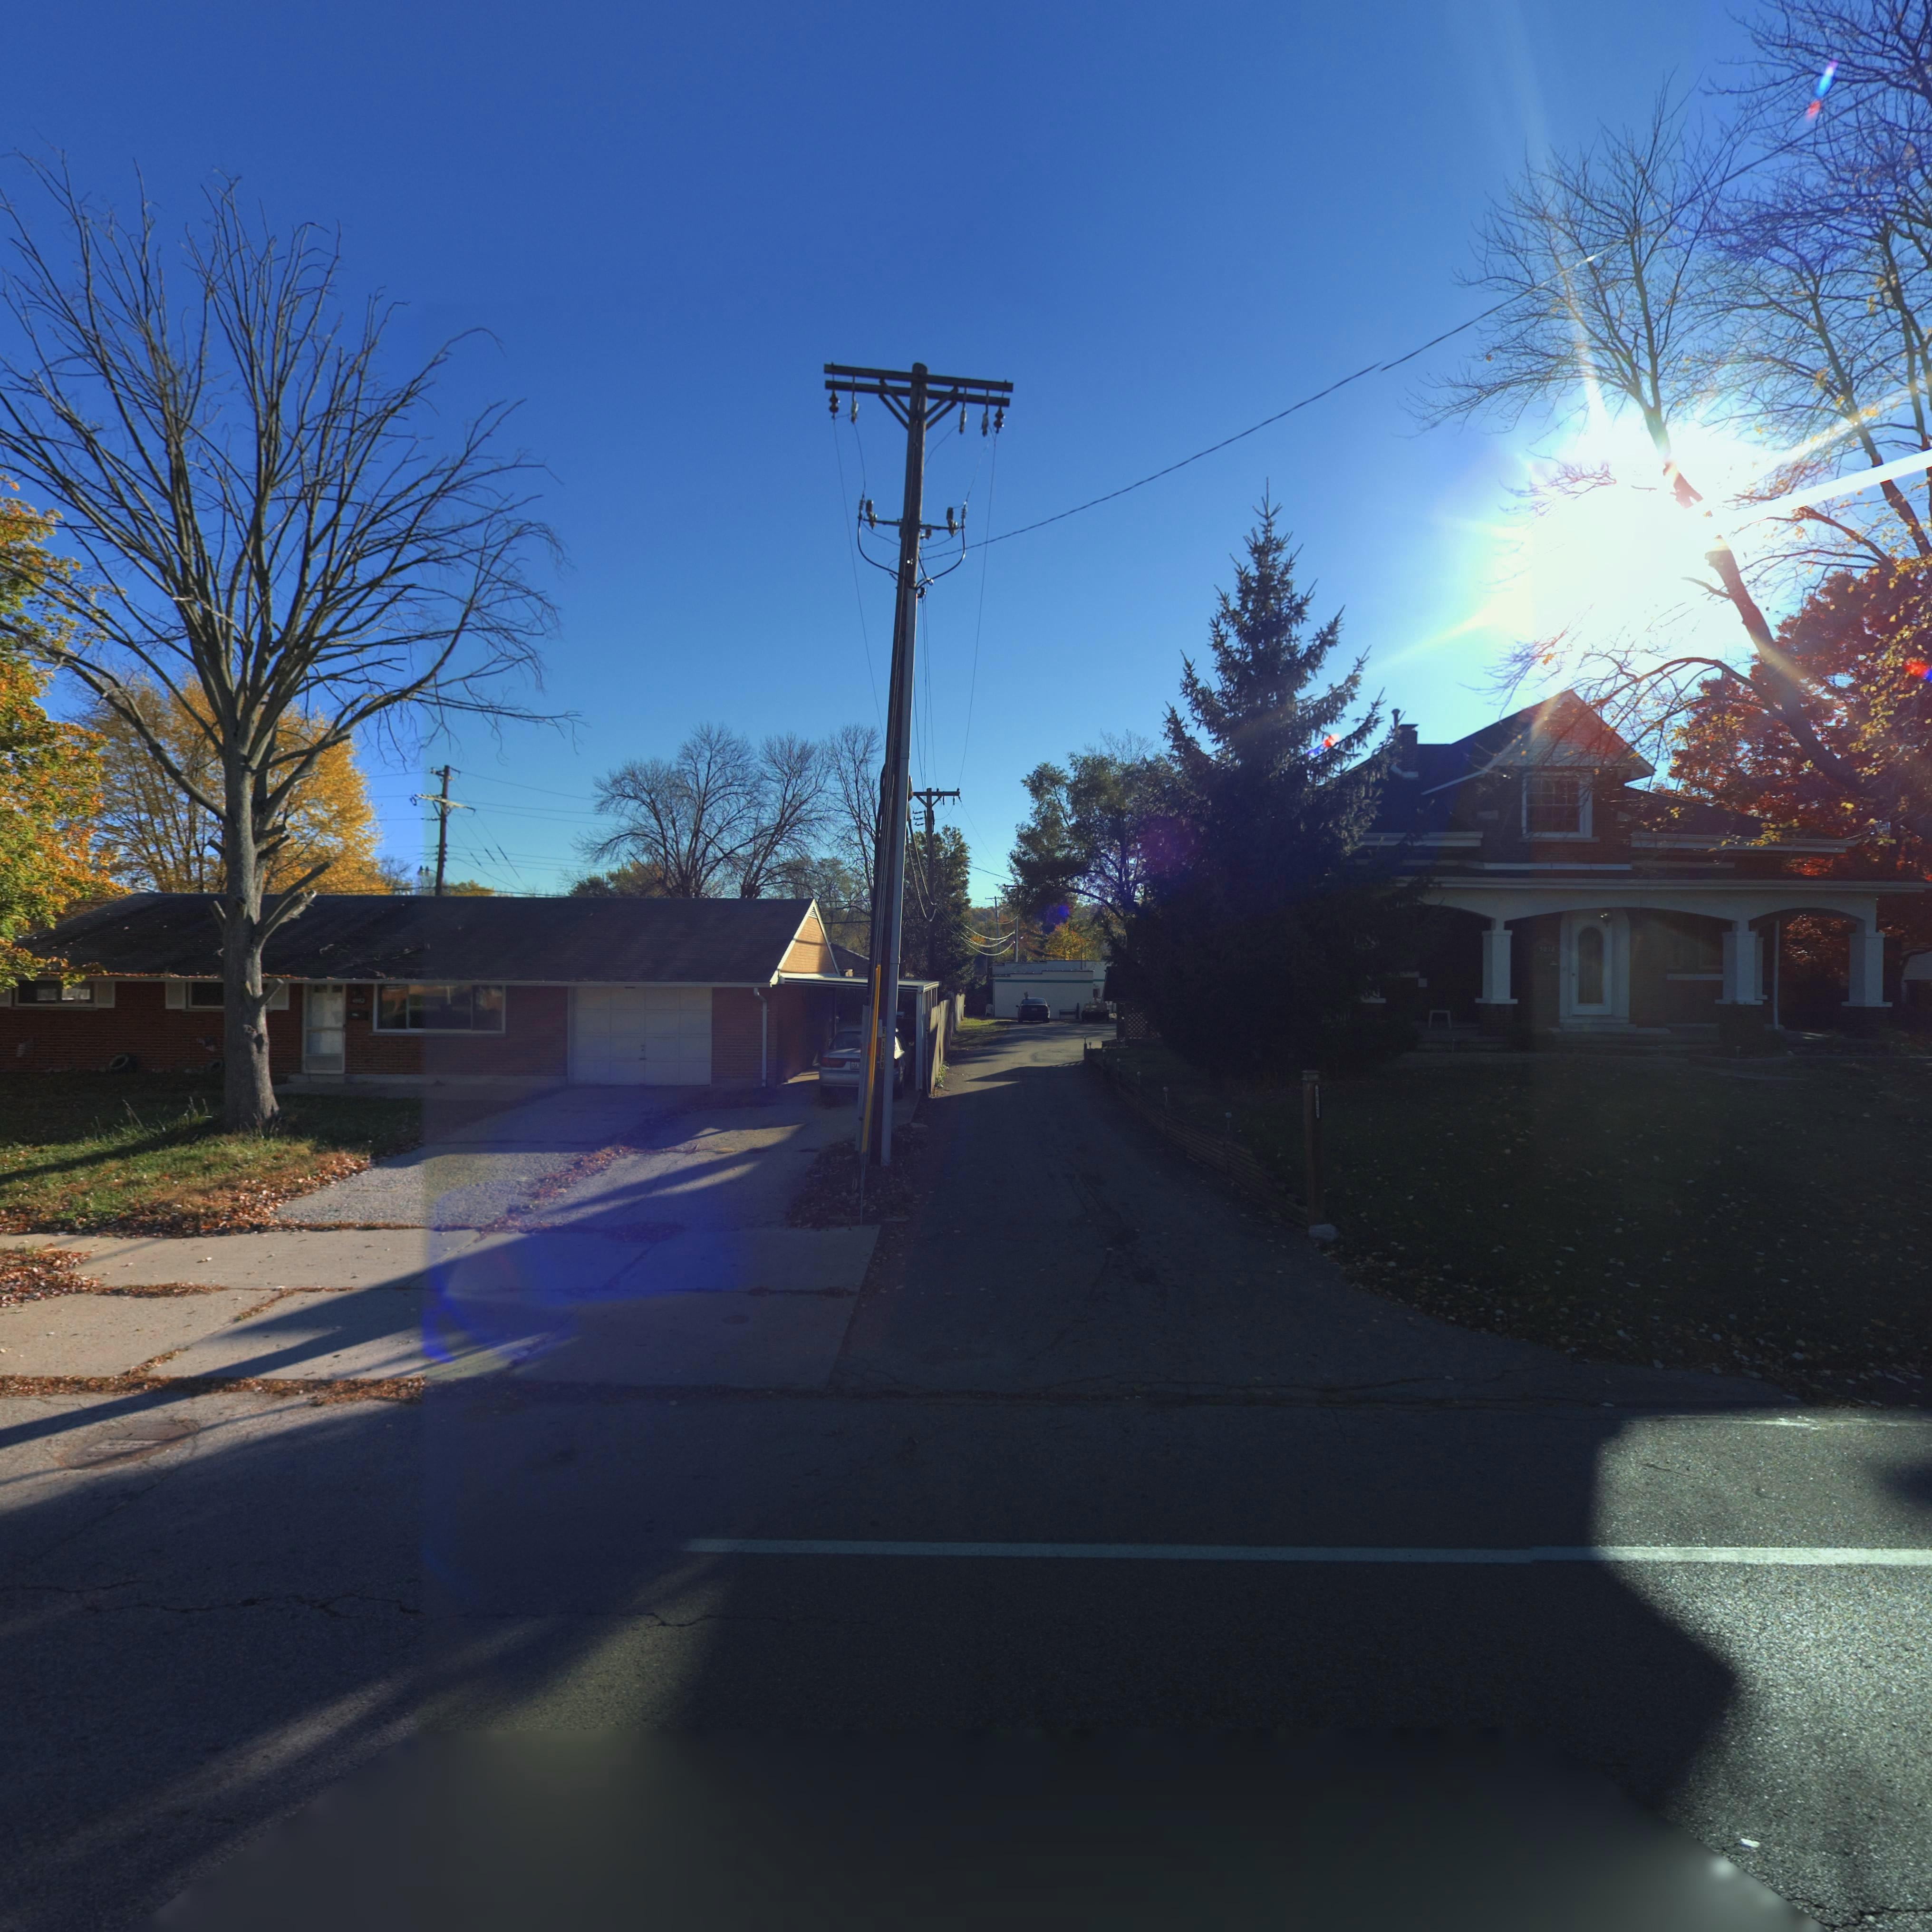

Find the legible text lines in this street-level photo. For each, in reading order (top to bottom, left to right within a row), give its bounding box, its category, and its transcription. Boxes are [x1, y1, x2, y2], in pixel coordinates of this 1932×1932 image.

[1537, 945, 1554, 952] StreetNumber: 5012
[351, 997, 366, 1004] StreetNumber: 4982